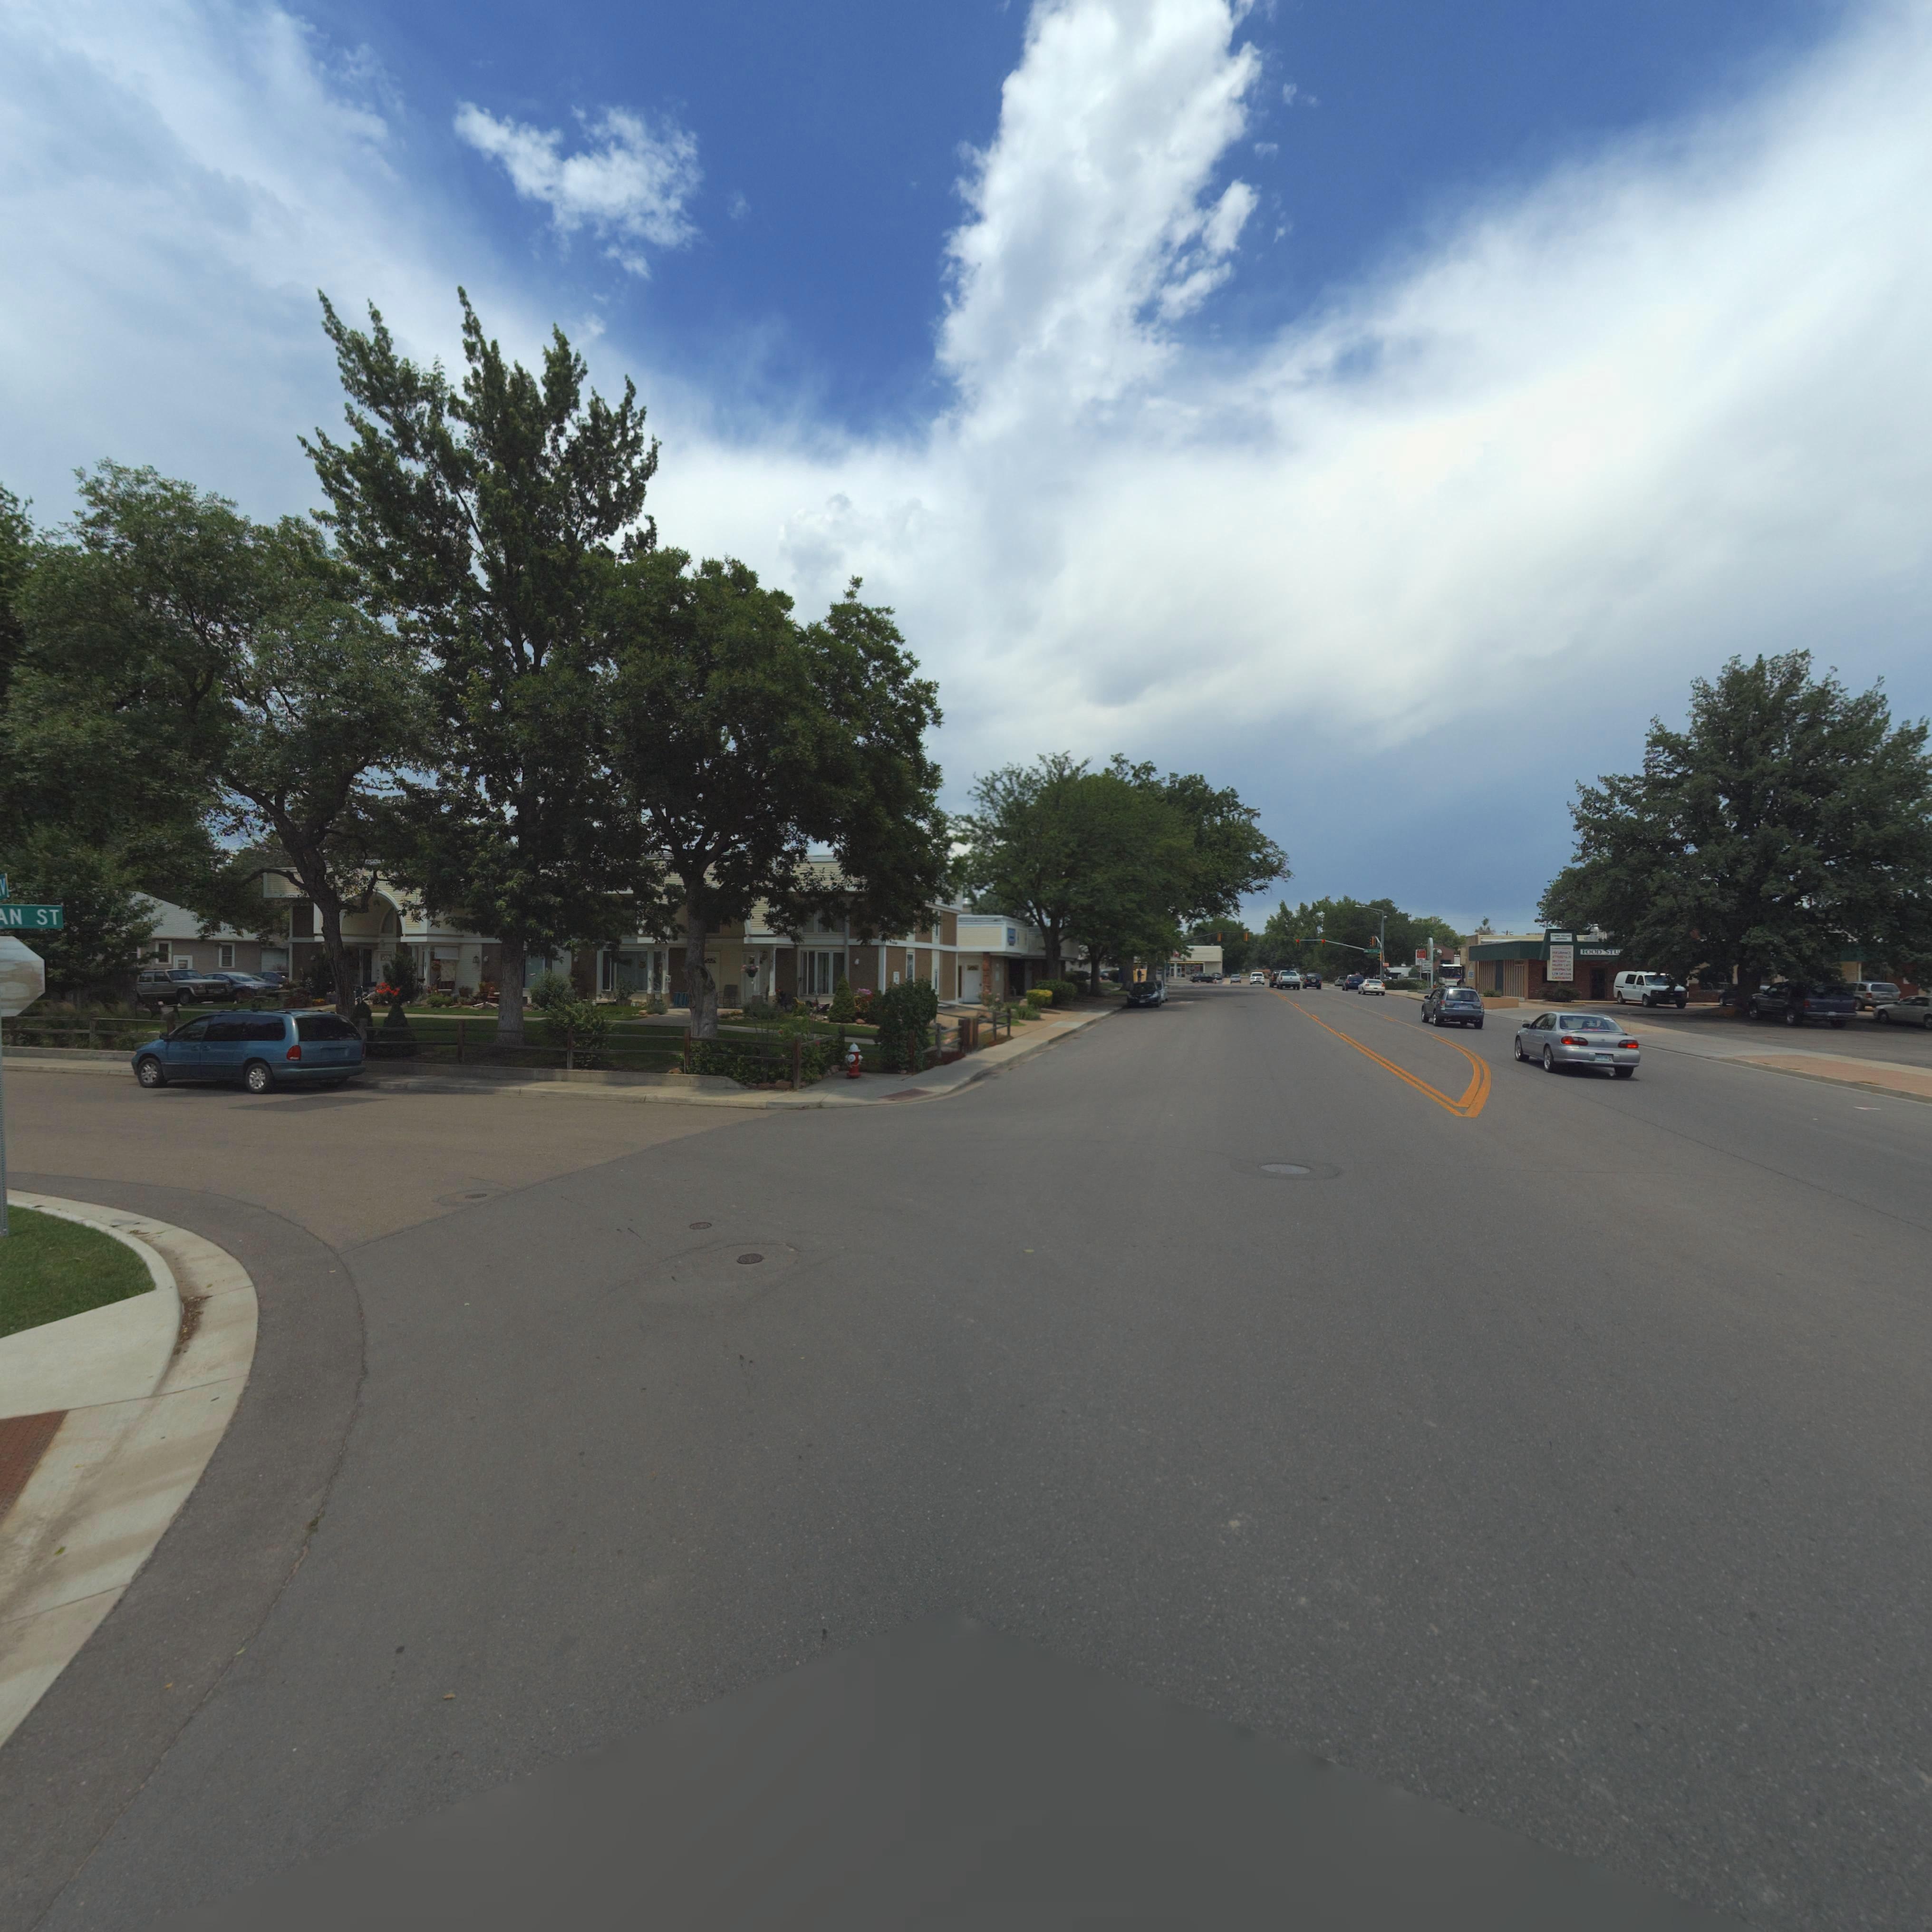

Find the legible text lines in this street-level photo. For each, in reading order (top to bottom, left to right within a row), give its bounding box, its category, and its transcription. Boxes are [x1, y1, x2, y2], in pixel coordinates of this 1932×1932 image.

[9, 908, 59, 925] StreetName: N ST